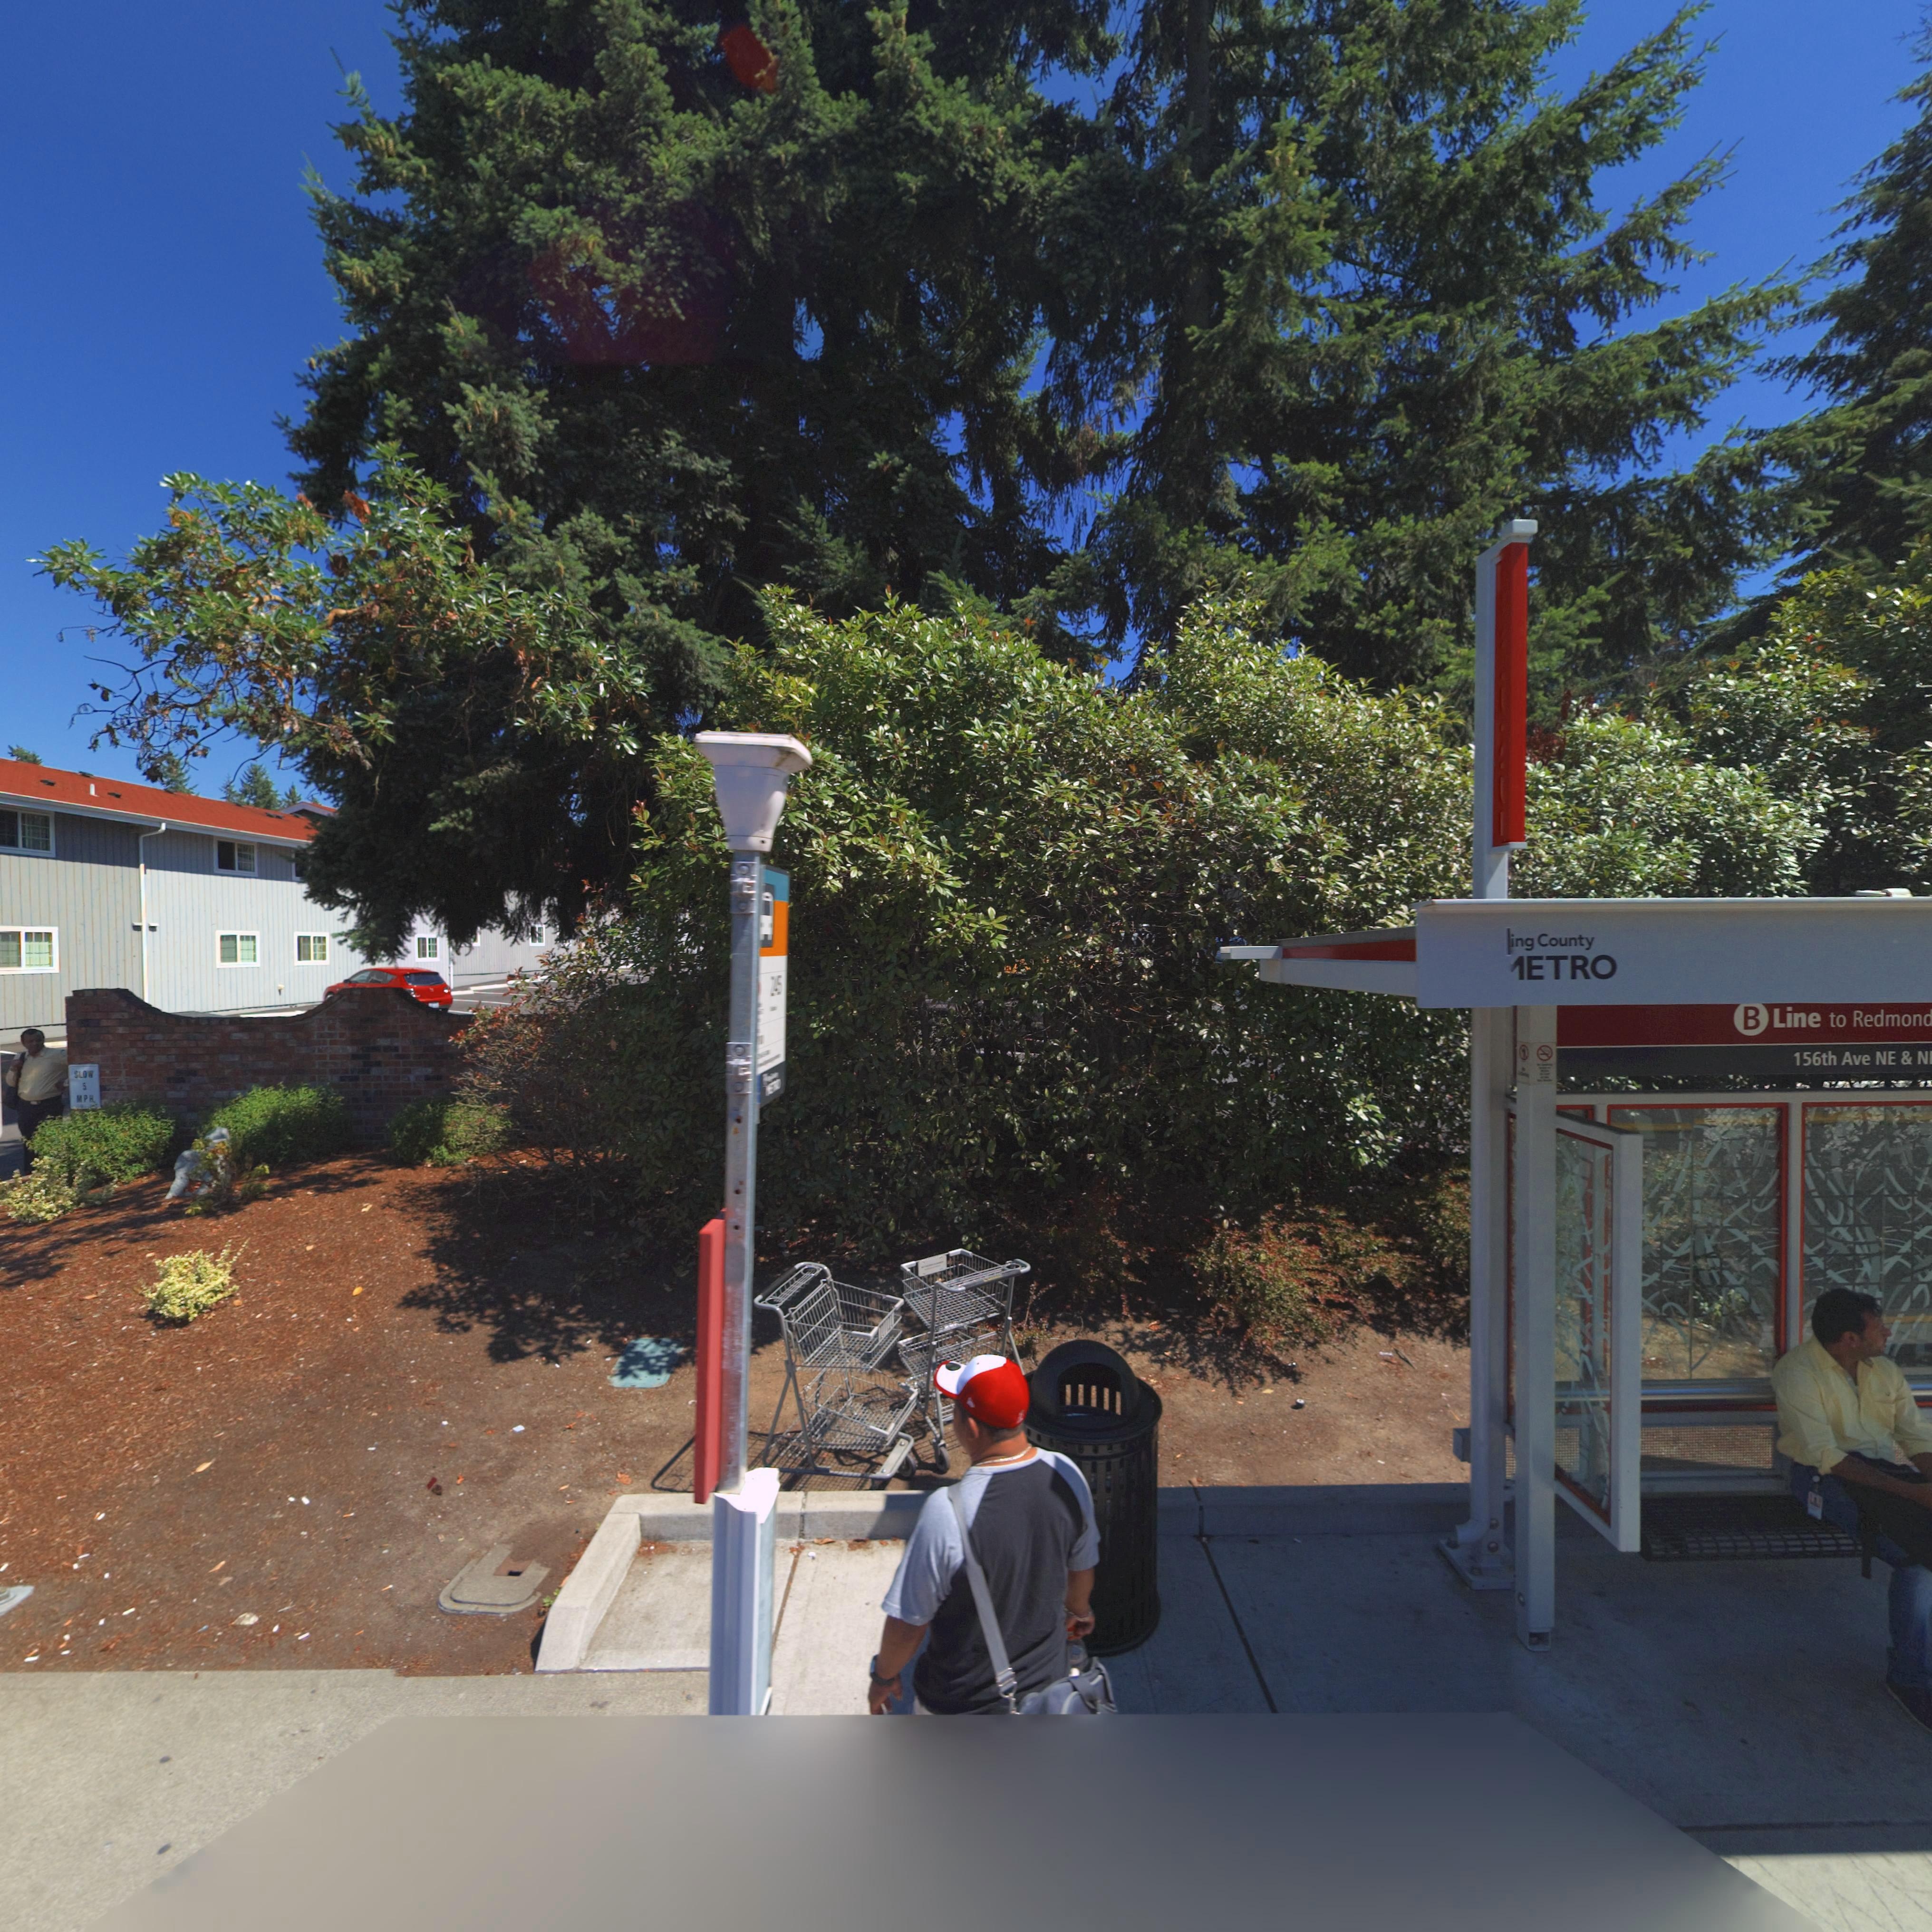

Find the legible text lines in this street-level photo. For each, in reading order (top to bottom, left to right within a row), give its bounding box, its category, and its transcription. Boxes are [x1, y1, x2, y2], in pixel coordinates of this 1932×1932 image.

[1793, 1050, 1895, 1066] StreetName: 156th Ave NE